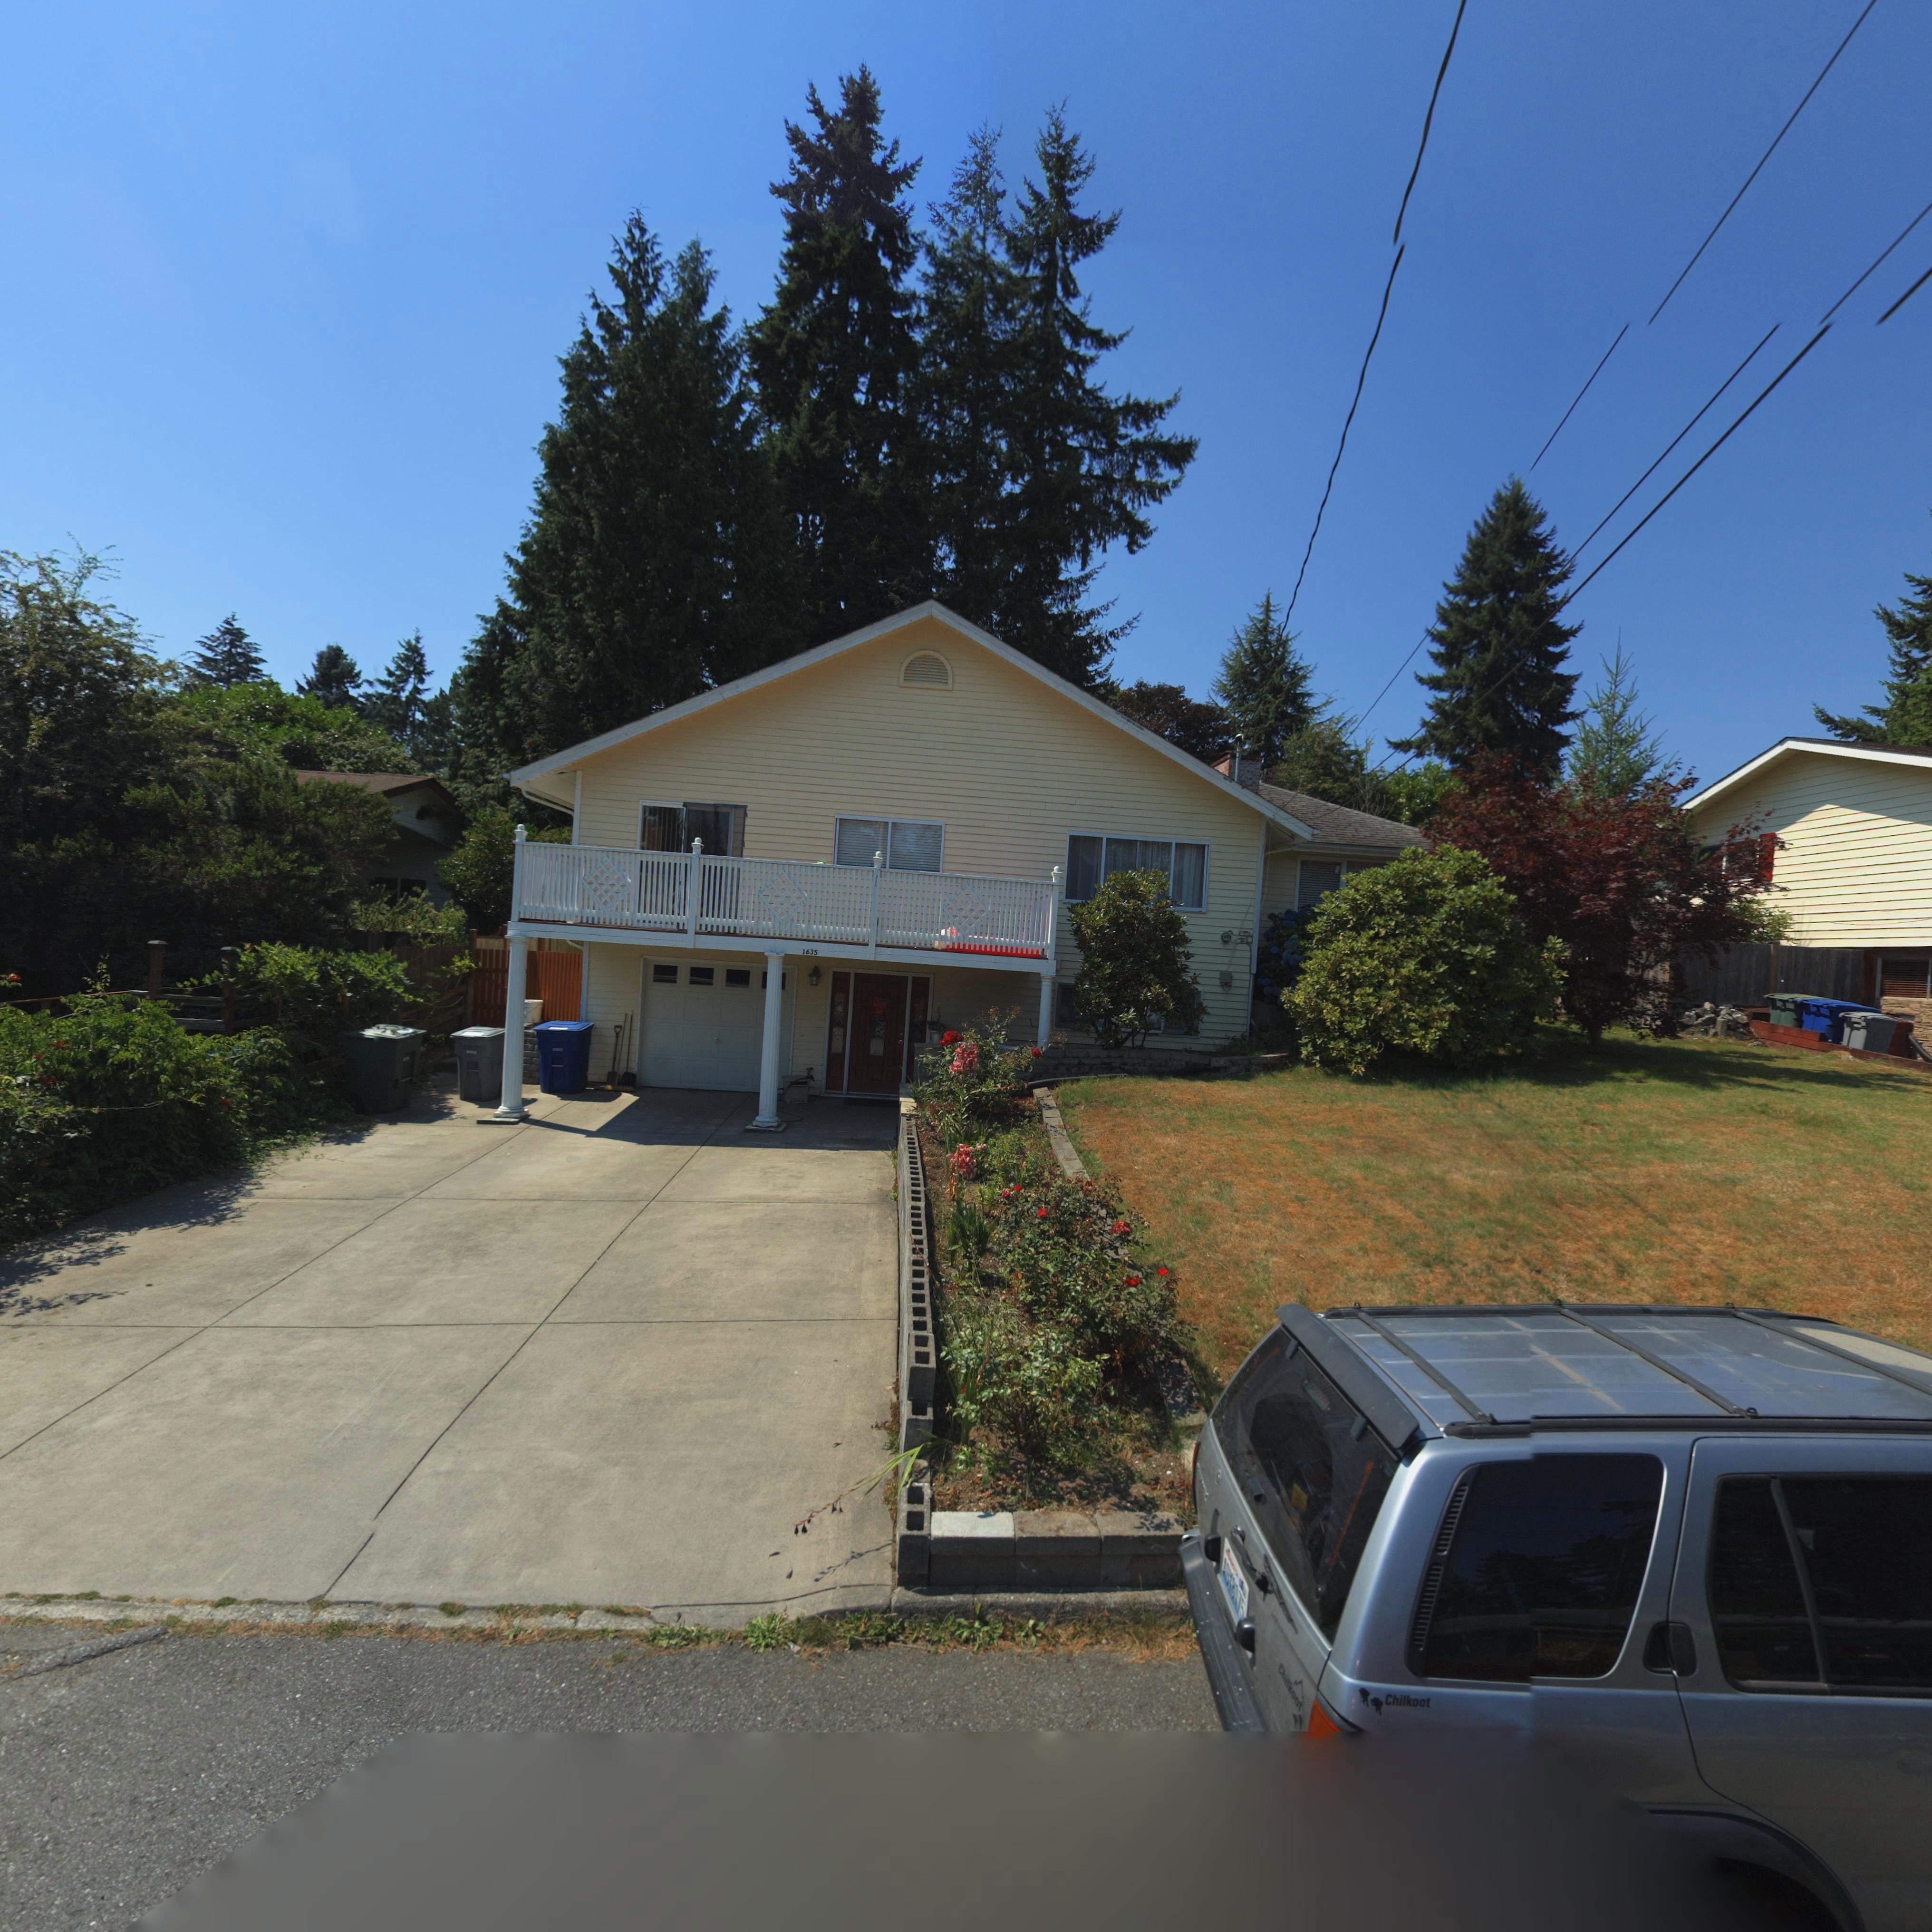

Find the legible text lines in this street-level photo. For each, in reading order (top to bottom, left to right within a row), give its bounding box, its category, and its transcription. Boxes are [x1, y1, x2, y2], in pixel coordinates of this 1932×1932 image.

[802, 948, 818, 956] StreetNumber: 1635